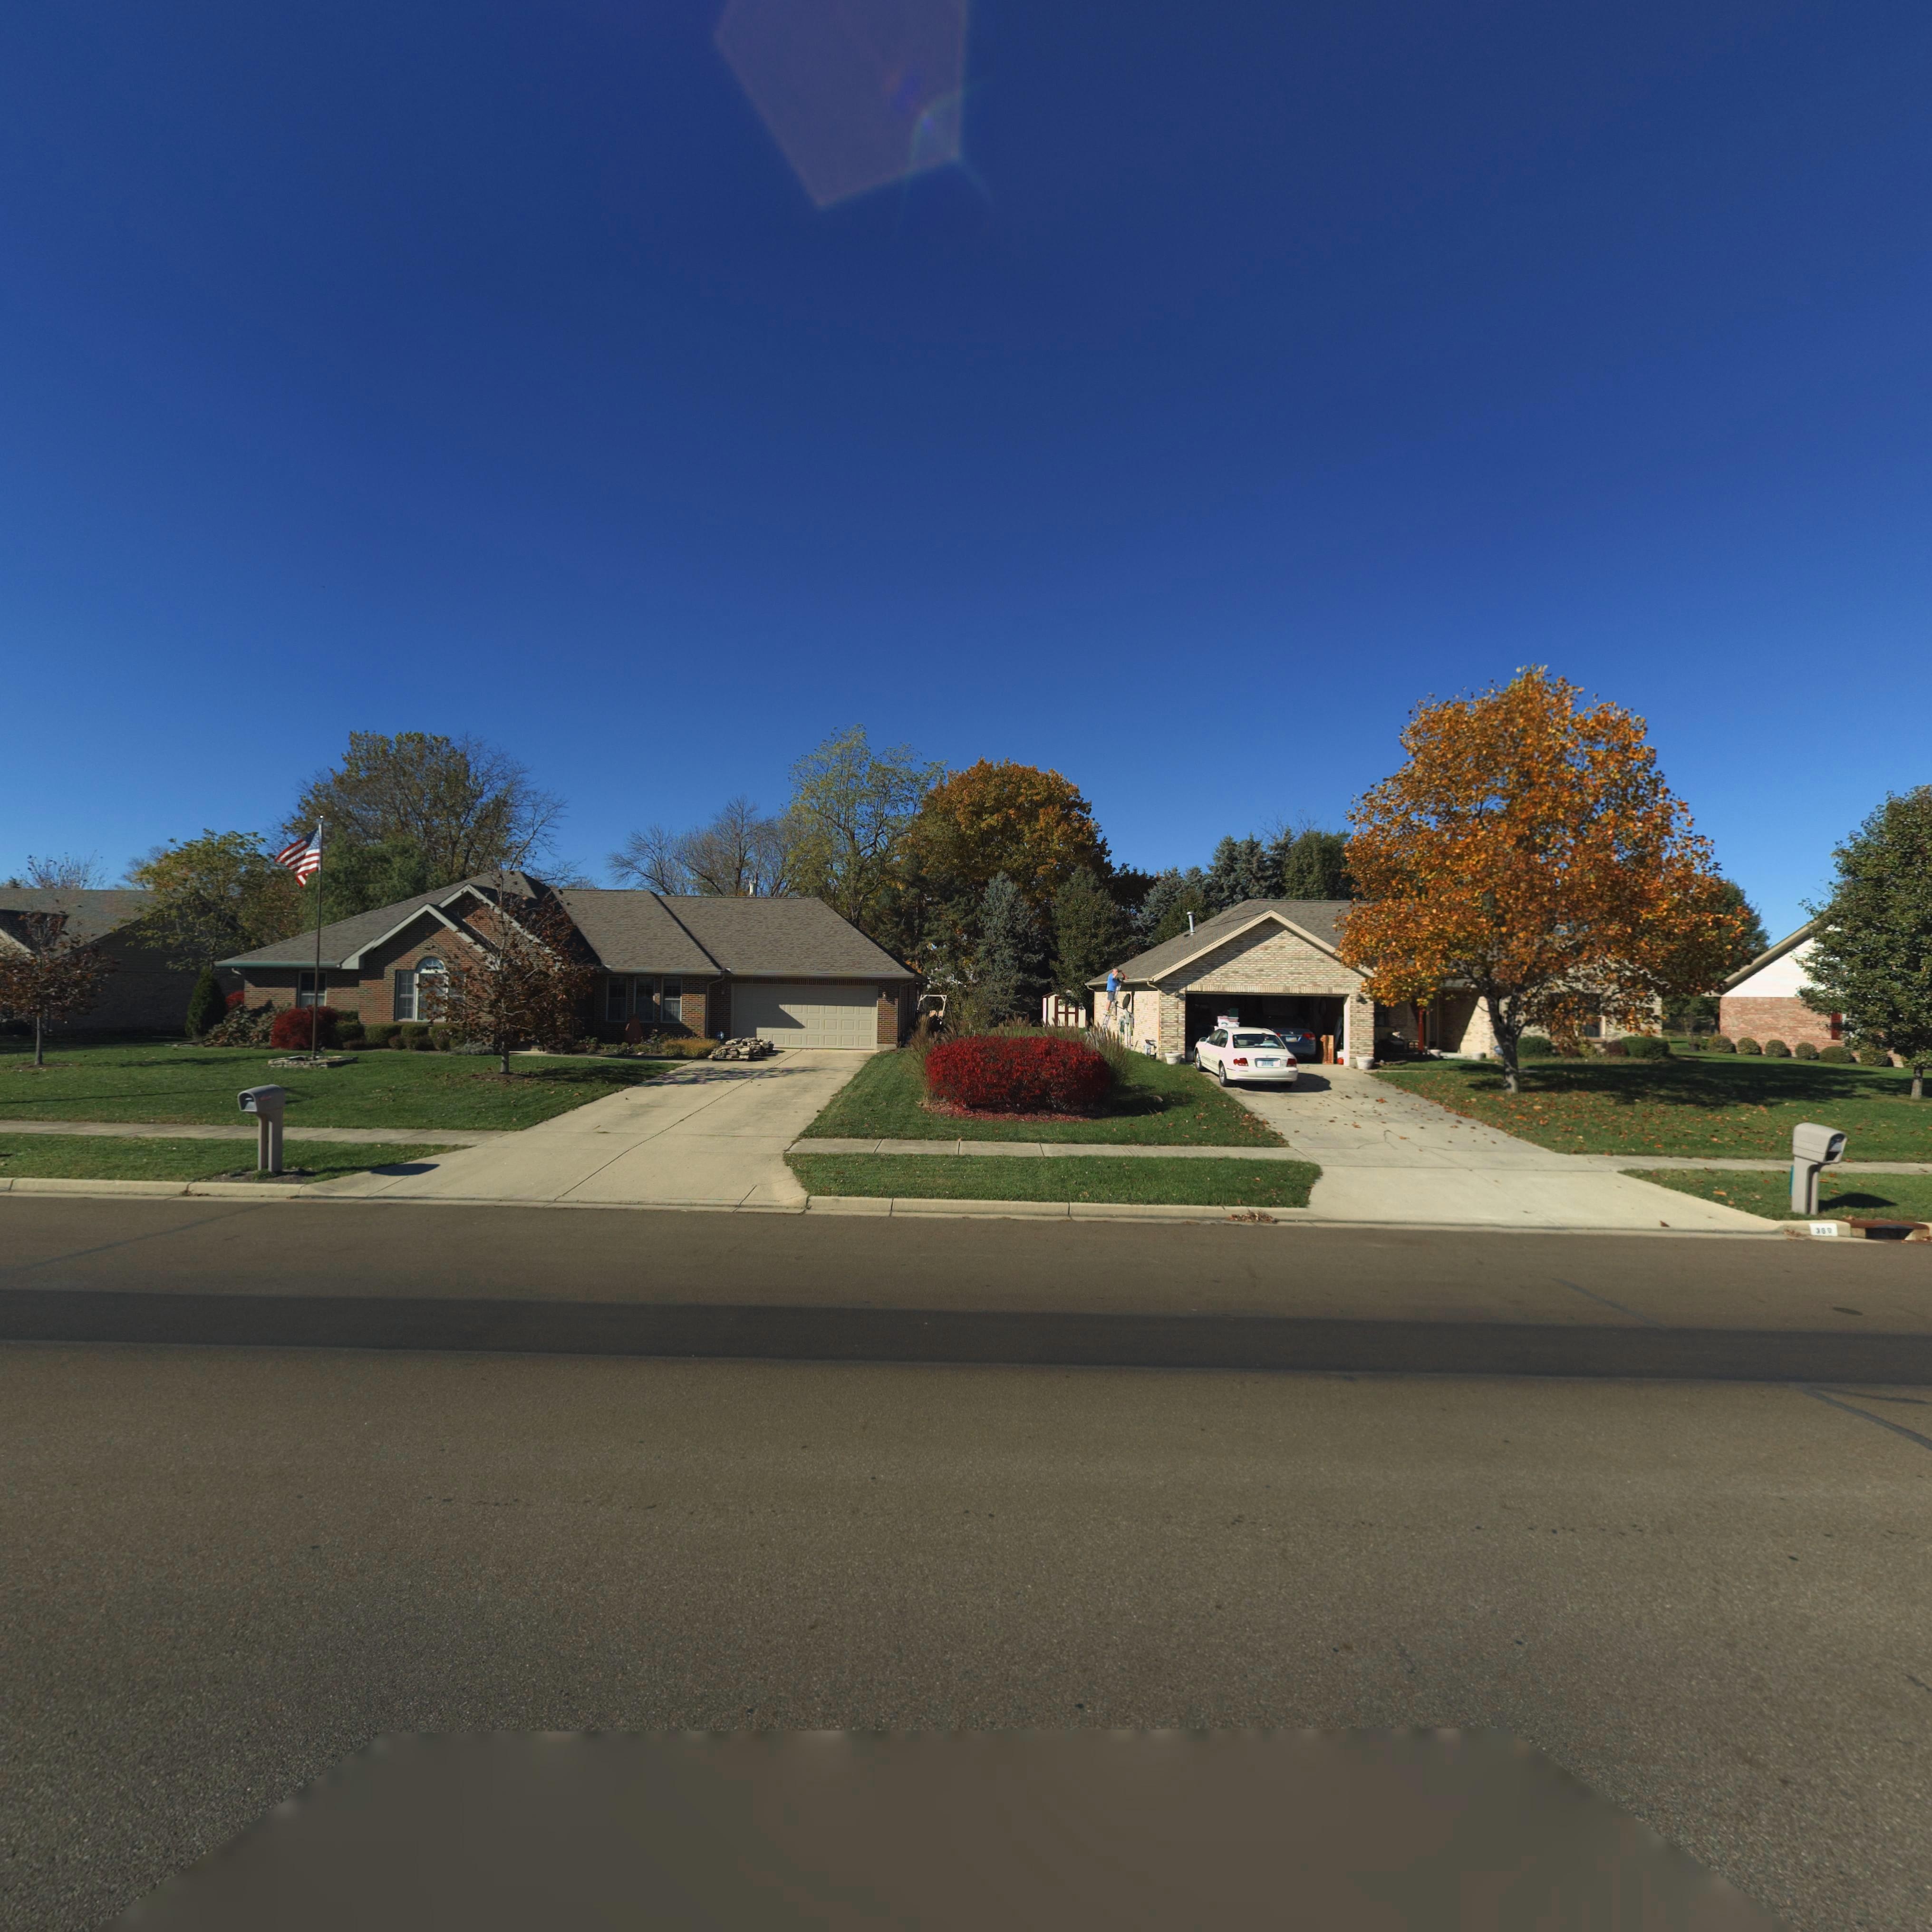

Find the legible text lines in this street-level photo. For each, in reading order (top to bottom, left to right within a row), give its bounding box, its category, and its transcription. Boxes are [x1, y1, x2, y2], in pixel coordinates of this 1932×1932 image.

[1816, 1227, 1832, 1234] StreetNumber: 369